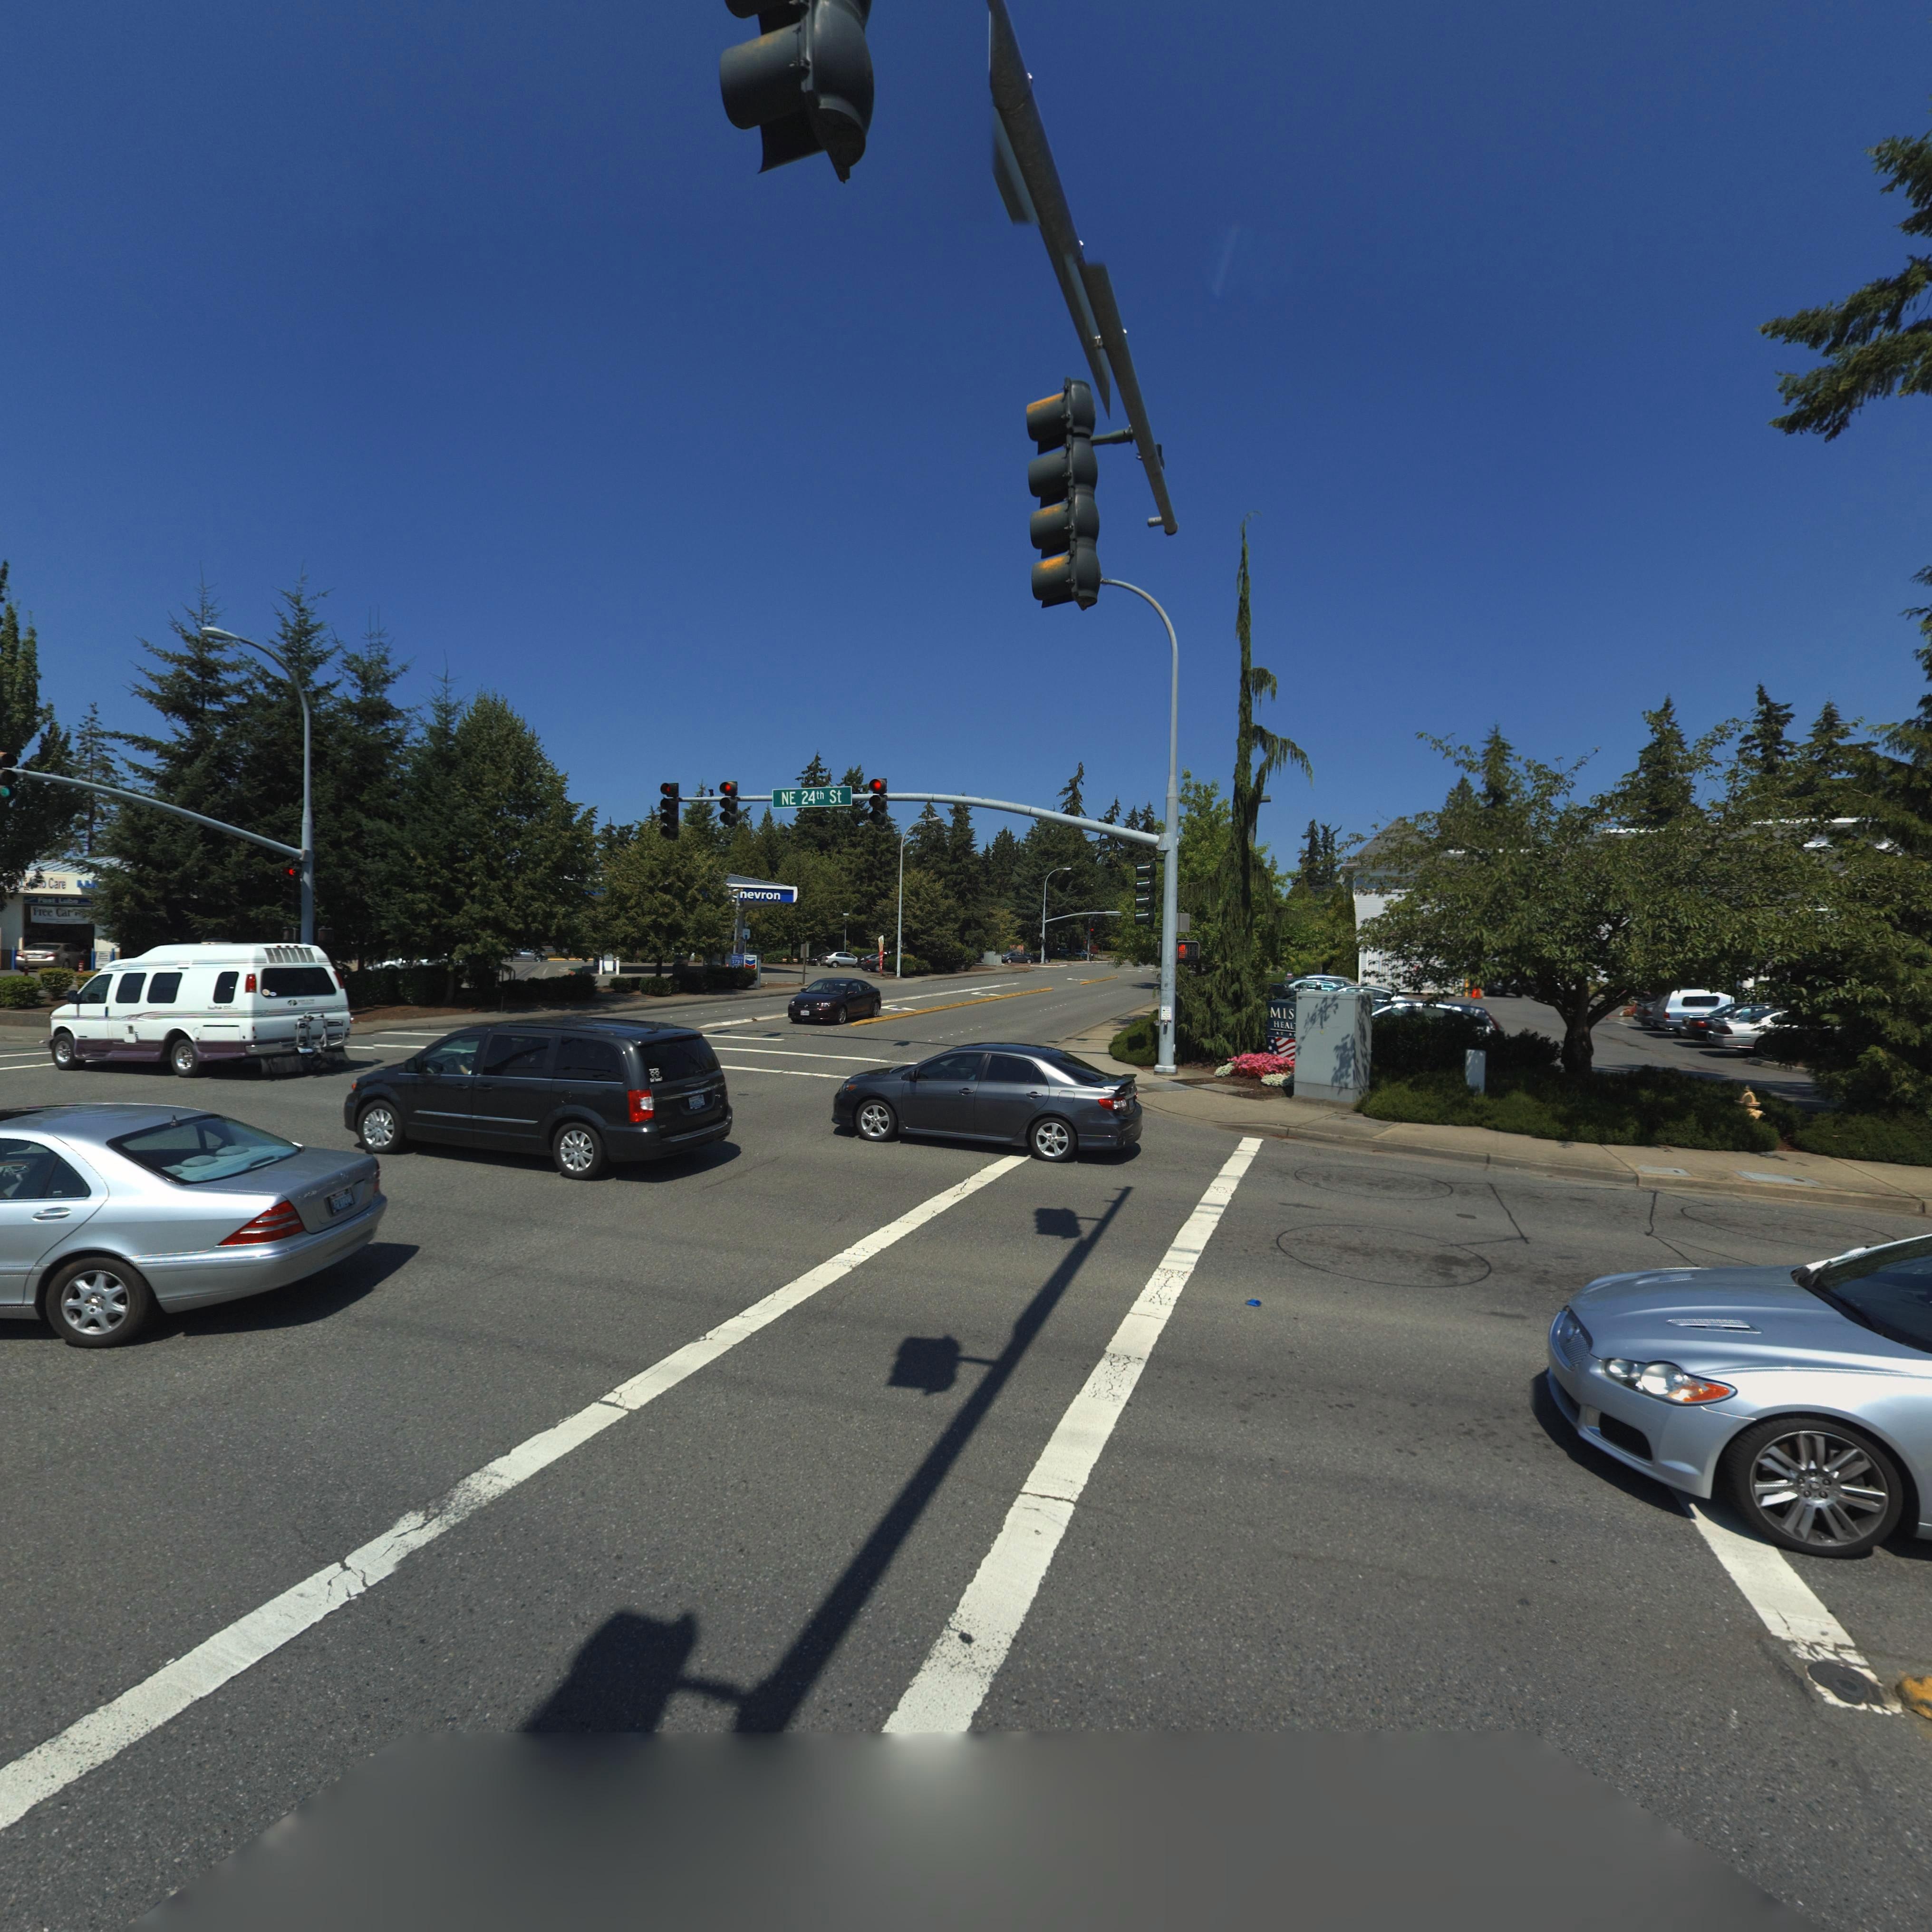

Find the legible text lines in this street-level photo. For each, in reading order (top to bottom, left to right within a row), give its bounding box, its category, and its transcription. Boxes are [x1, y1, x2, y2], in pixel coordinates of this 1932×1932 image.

[782, 790, 841, 804] StreetName: NE 24th St
[48, 877, 66, 889] BusinessName: Care
[747, 891, 781, 900] BusinessName: evron
[1270, 1006, 1294, 1020] BusinessName: MIS
[1274, 1020, 1294, 1029] BusinessName: HEAL